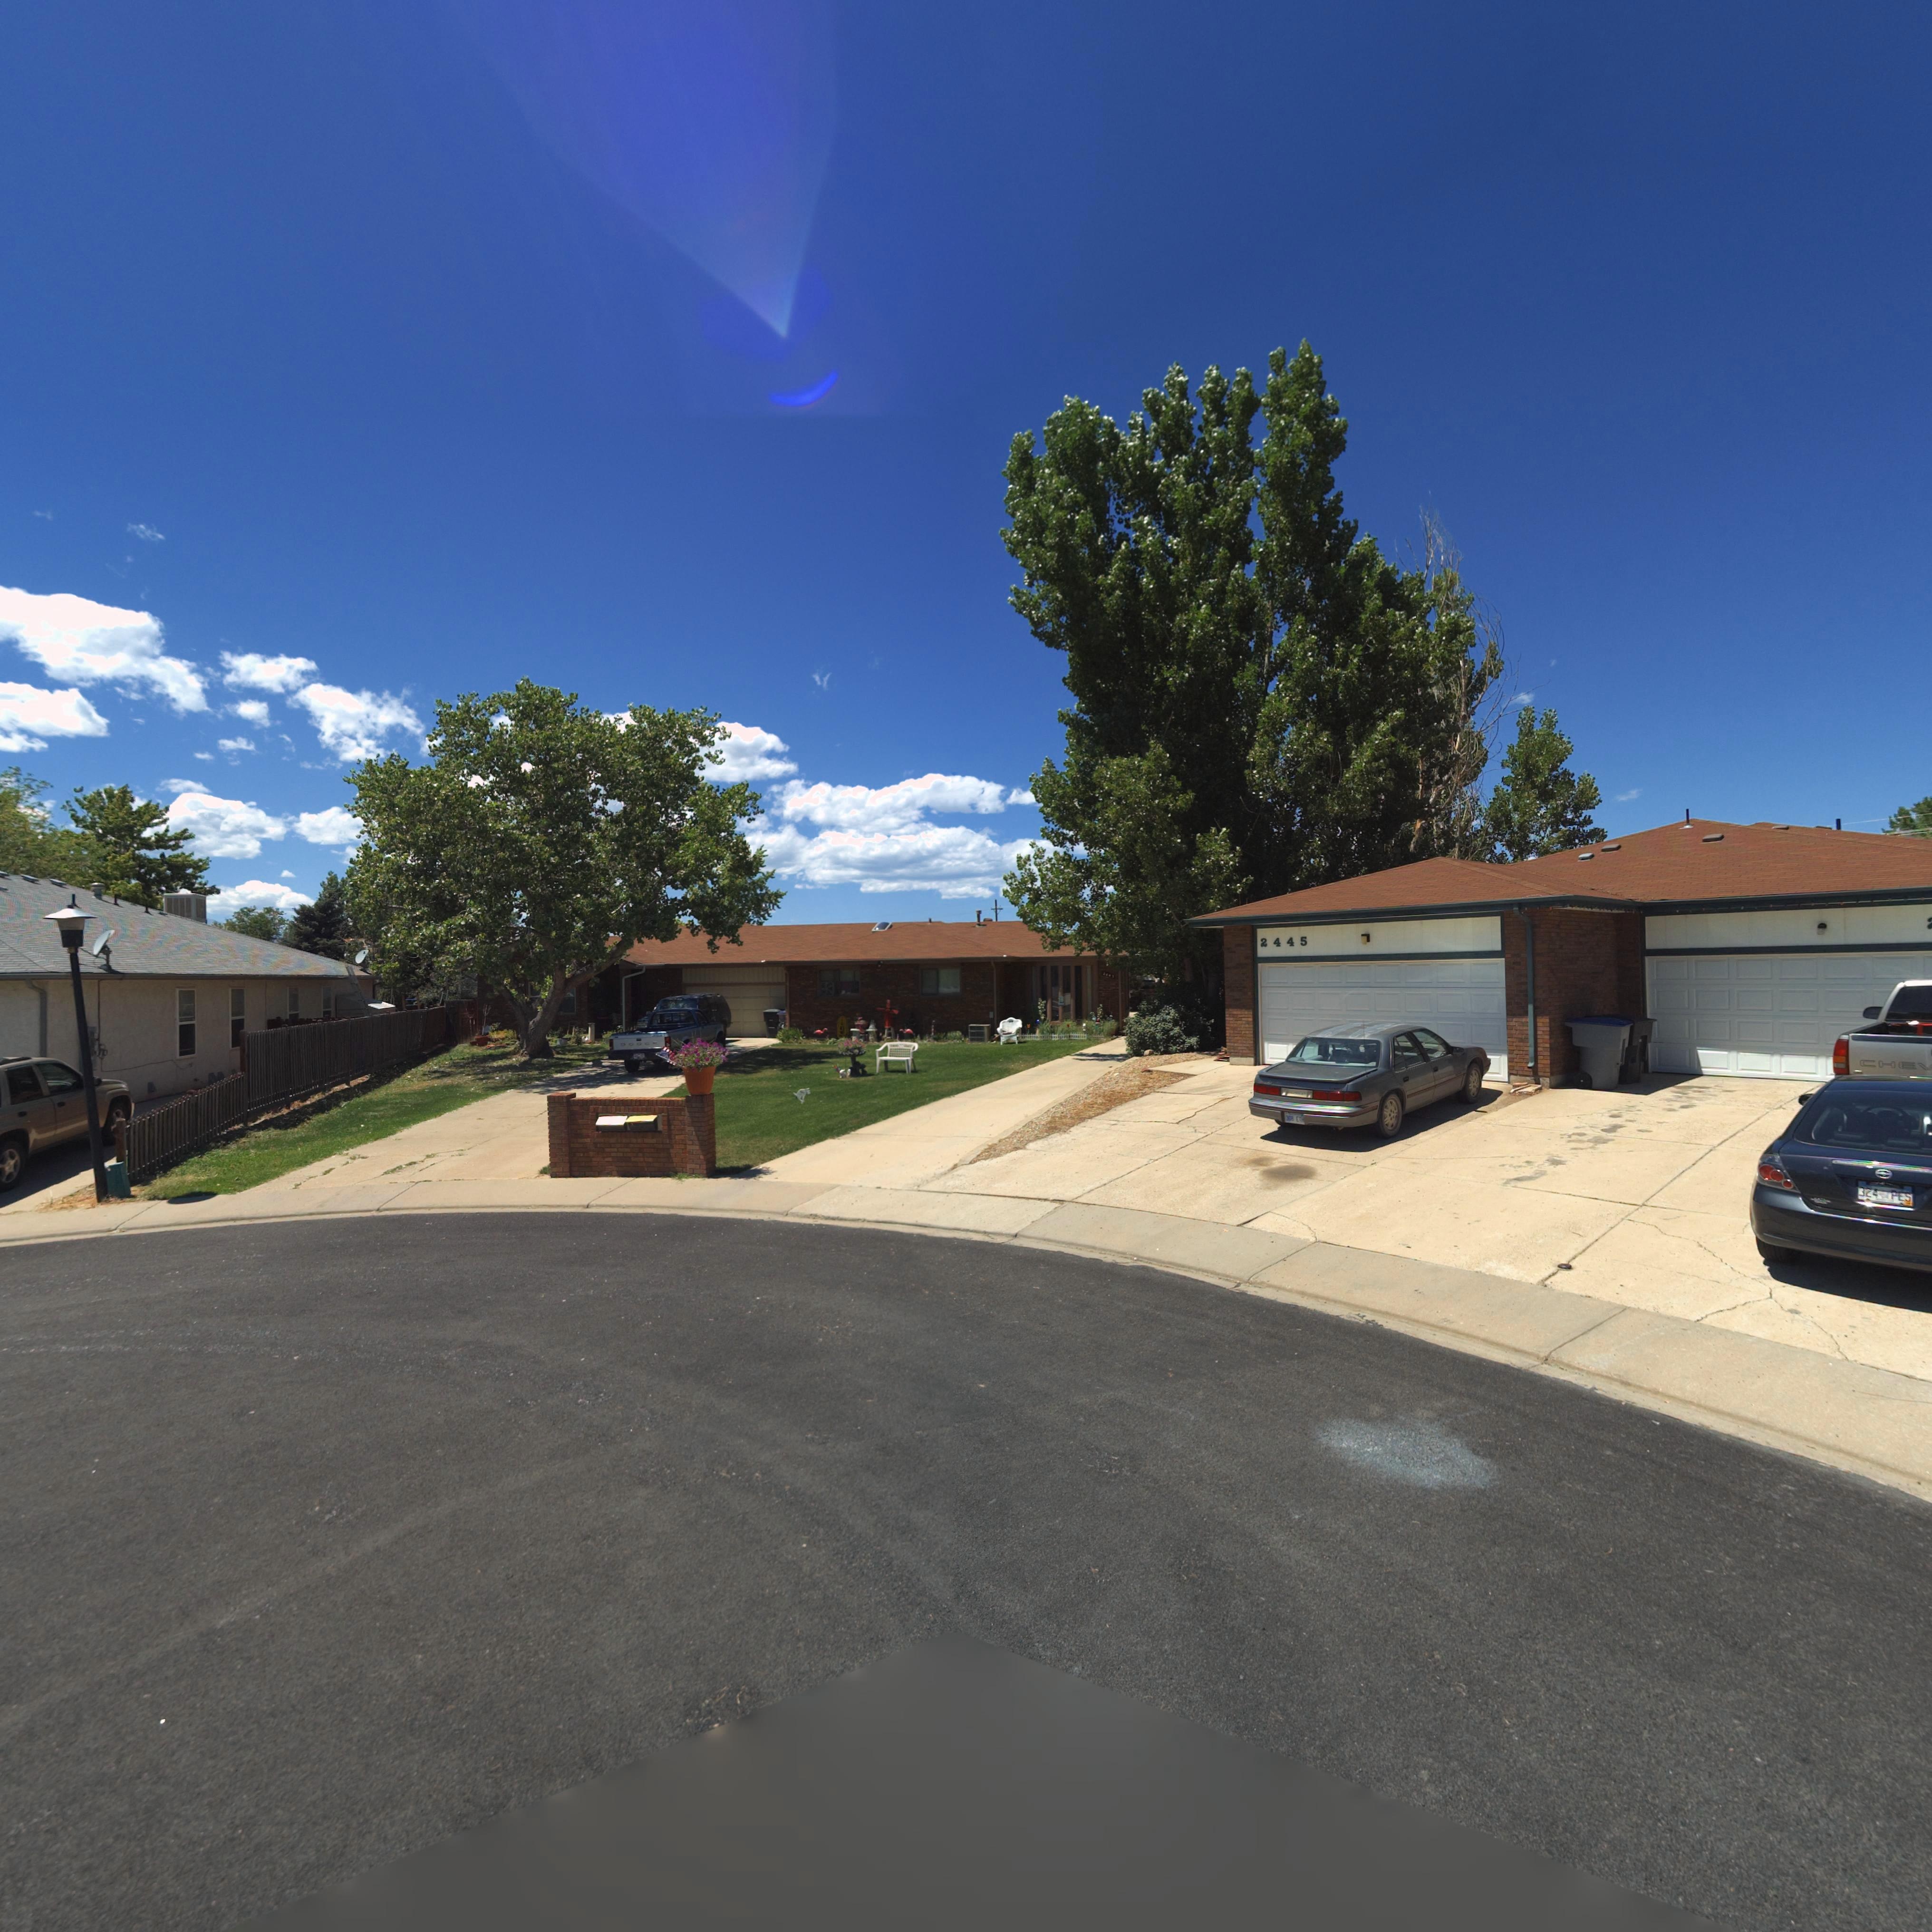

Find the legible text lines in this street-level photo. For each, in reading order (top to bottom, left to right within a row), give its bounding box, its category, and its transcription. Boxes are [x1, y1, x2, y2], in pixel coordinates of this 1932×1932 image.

[1260, 936, 1307, 947] StreetNumber: 2445